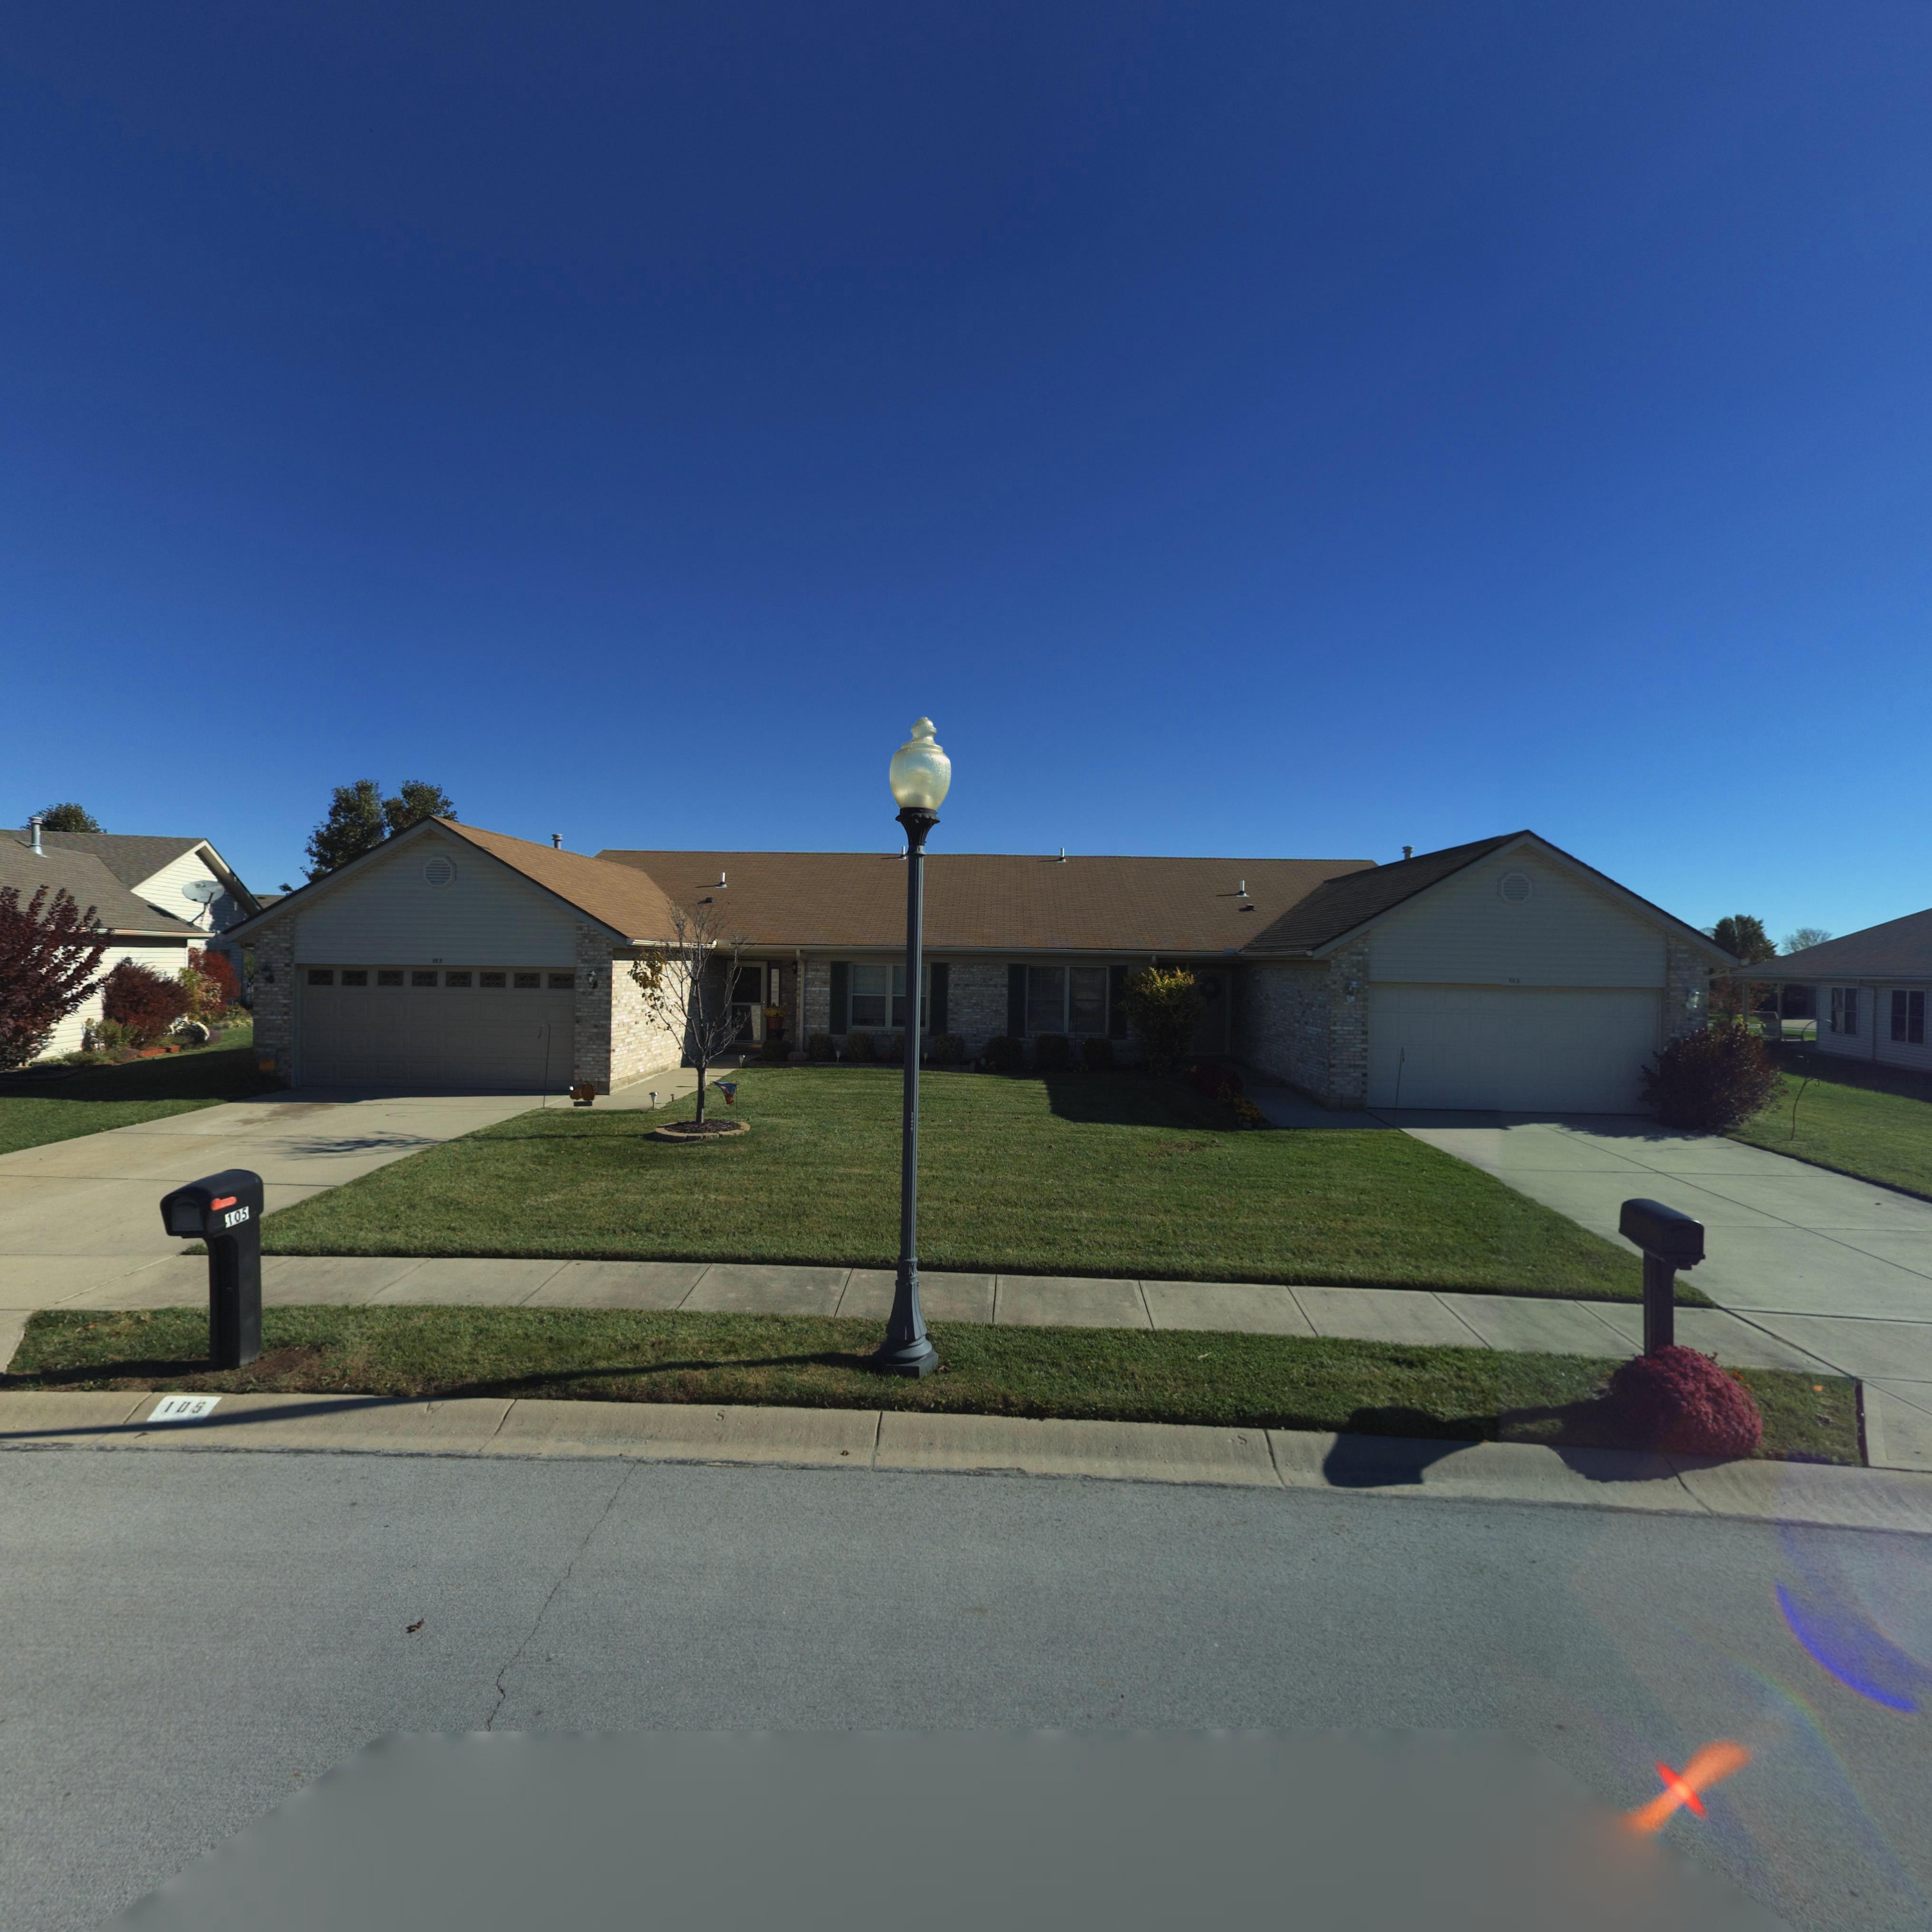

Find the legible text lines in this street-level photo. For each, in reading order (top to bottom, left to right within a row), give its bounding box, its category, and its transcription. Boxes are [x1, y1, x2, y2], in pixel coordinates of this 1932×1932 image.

[431, 957, 444, 964] StreetNumber: 105
[1508, 977, 1521, 985] StreetNumber: 103
[227, 1206, 247, 1227] StreetNumber: 105
[162, 1400, 208, 1415] StreetNumber: 105